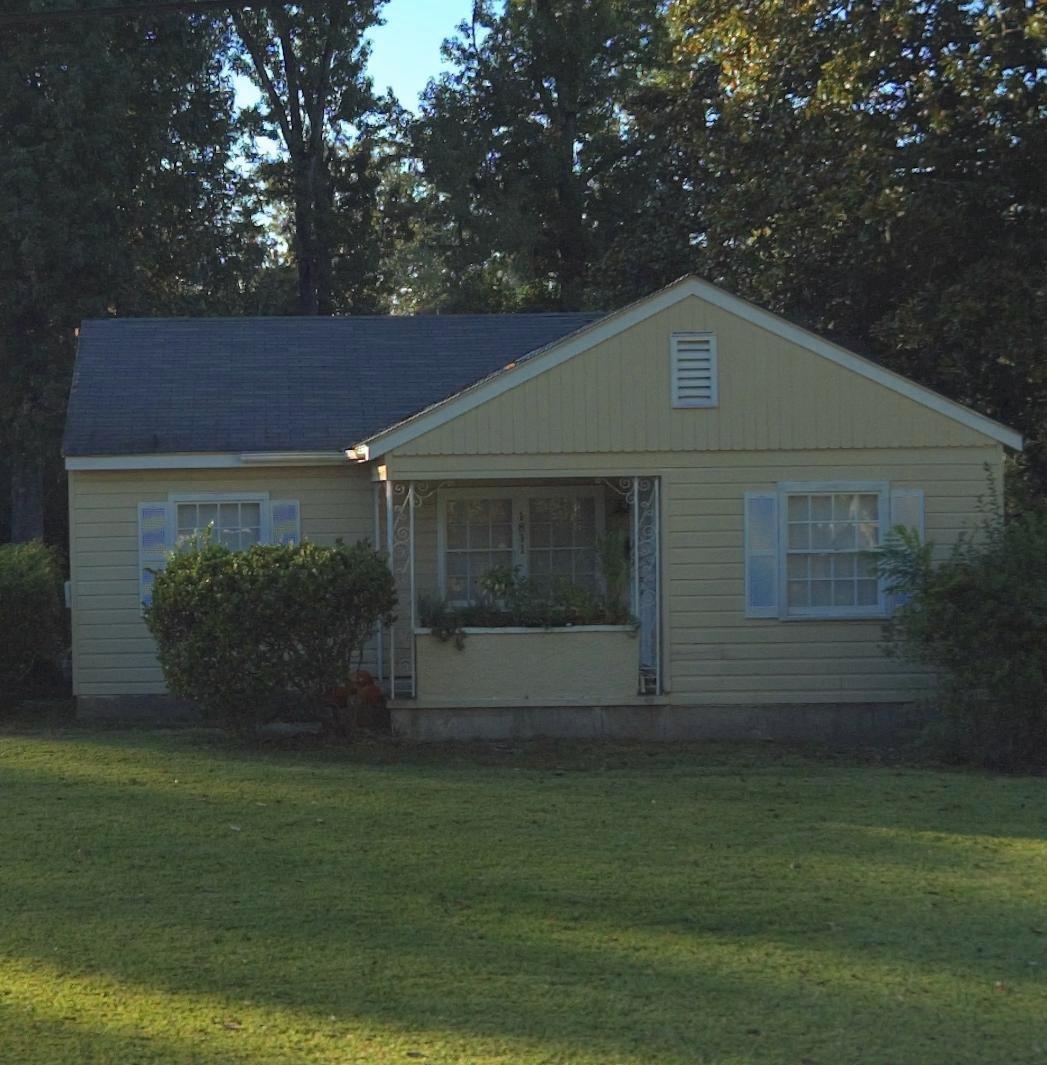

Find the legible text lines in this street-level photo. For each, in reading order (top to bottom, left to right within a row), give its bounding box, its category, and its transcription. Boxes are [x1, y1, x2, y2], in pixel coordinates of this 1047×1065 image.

[516, 509, 527, 556] StreetNumber: 1811